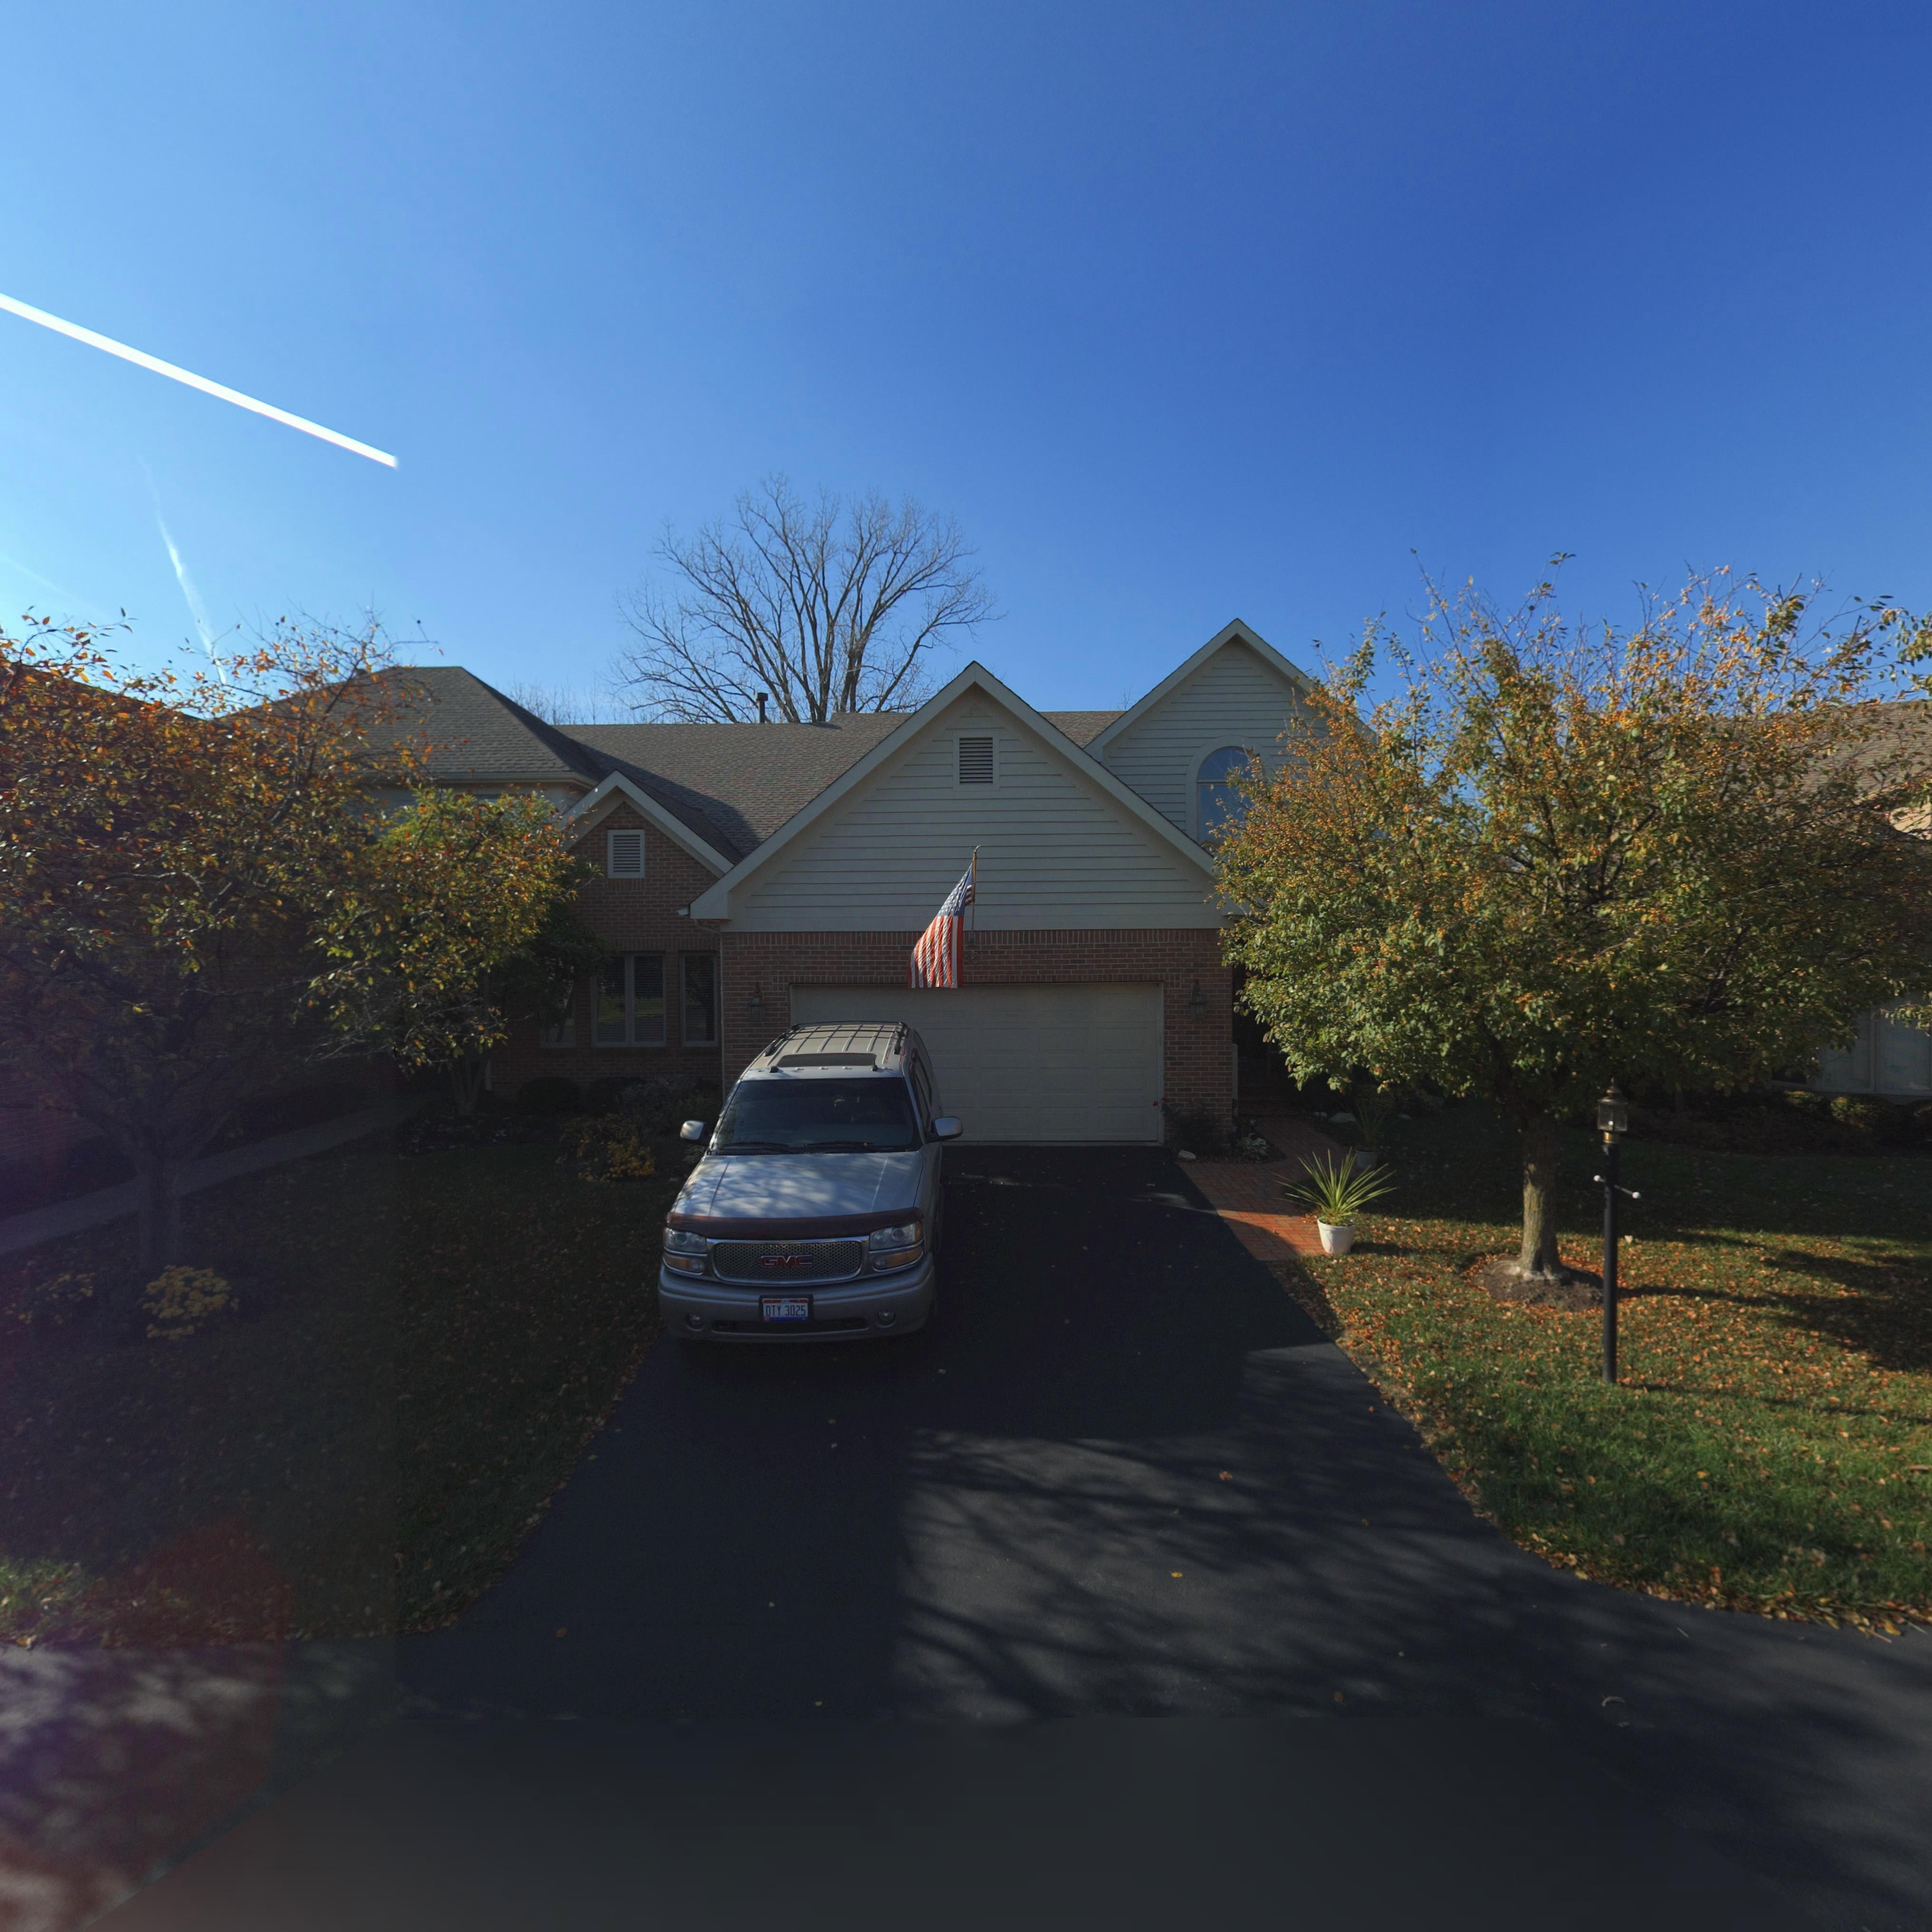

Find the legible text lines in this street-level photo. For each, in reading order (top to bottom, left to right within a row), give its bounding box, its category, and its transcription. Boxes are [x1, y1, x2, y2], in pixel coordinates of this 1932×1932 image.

[962, 951, 985, 965] StreetNumber: 861